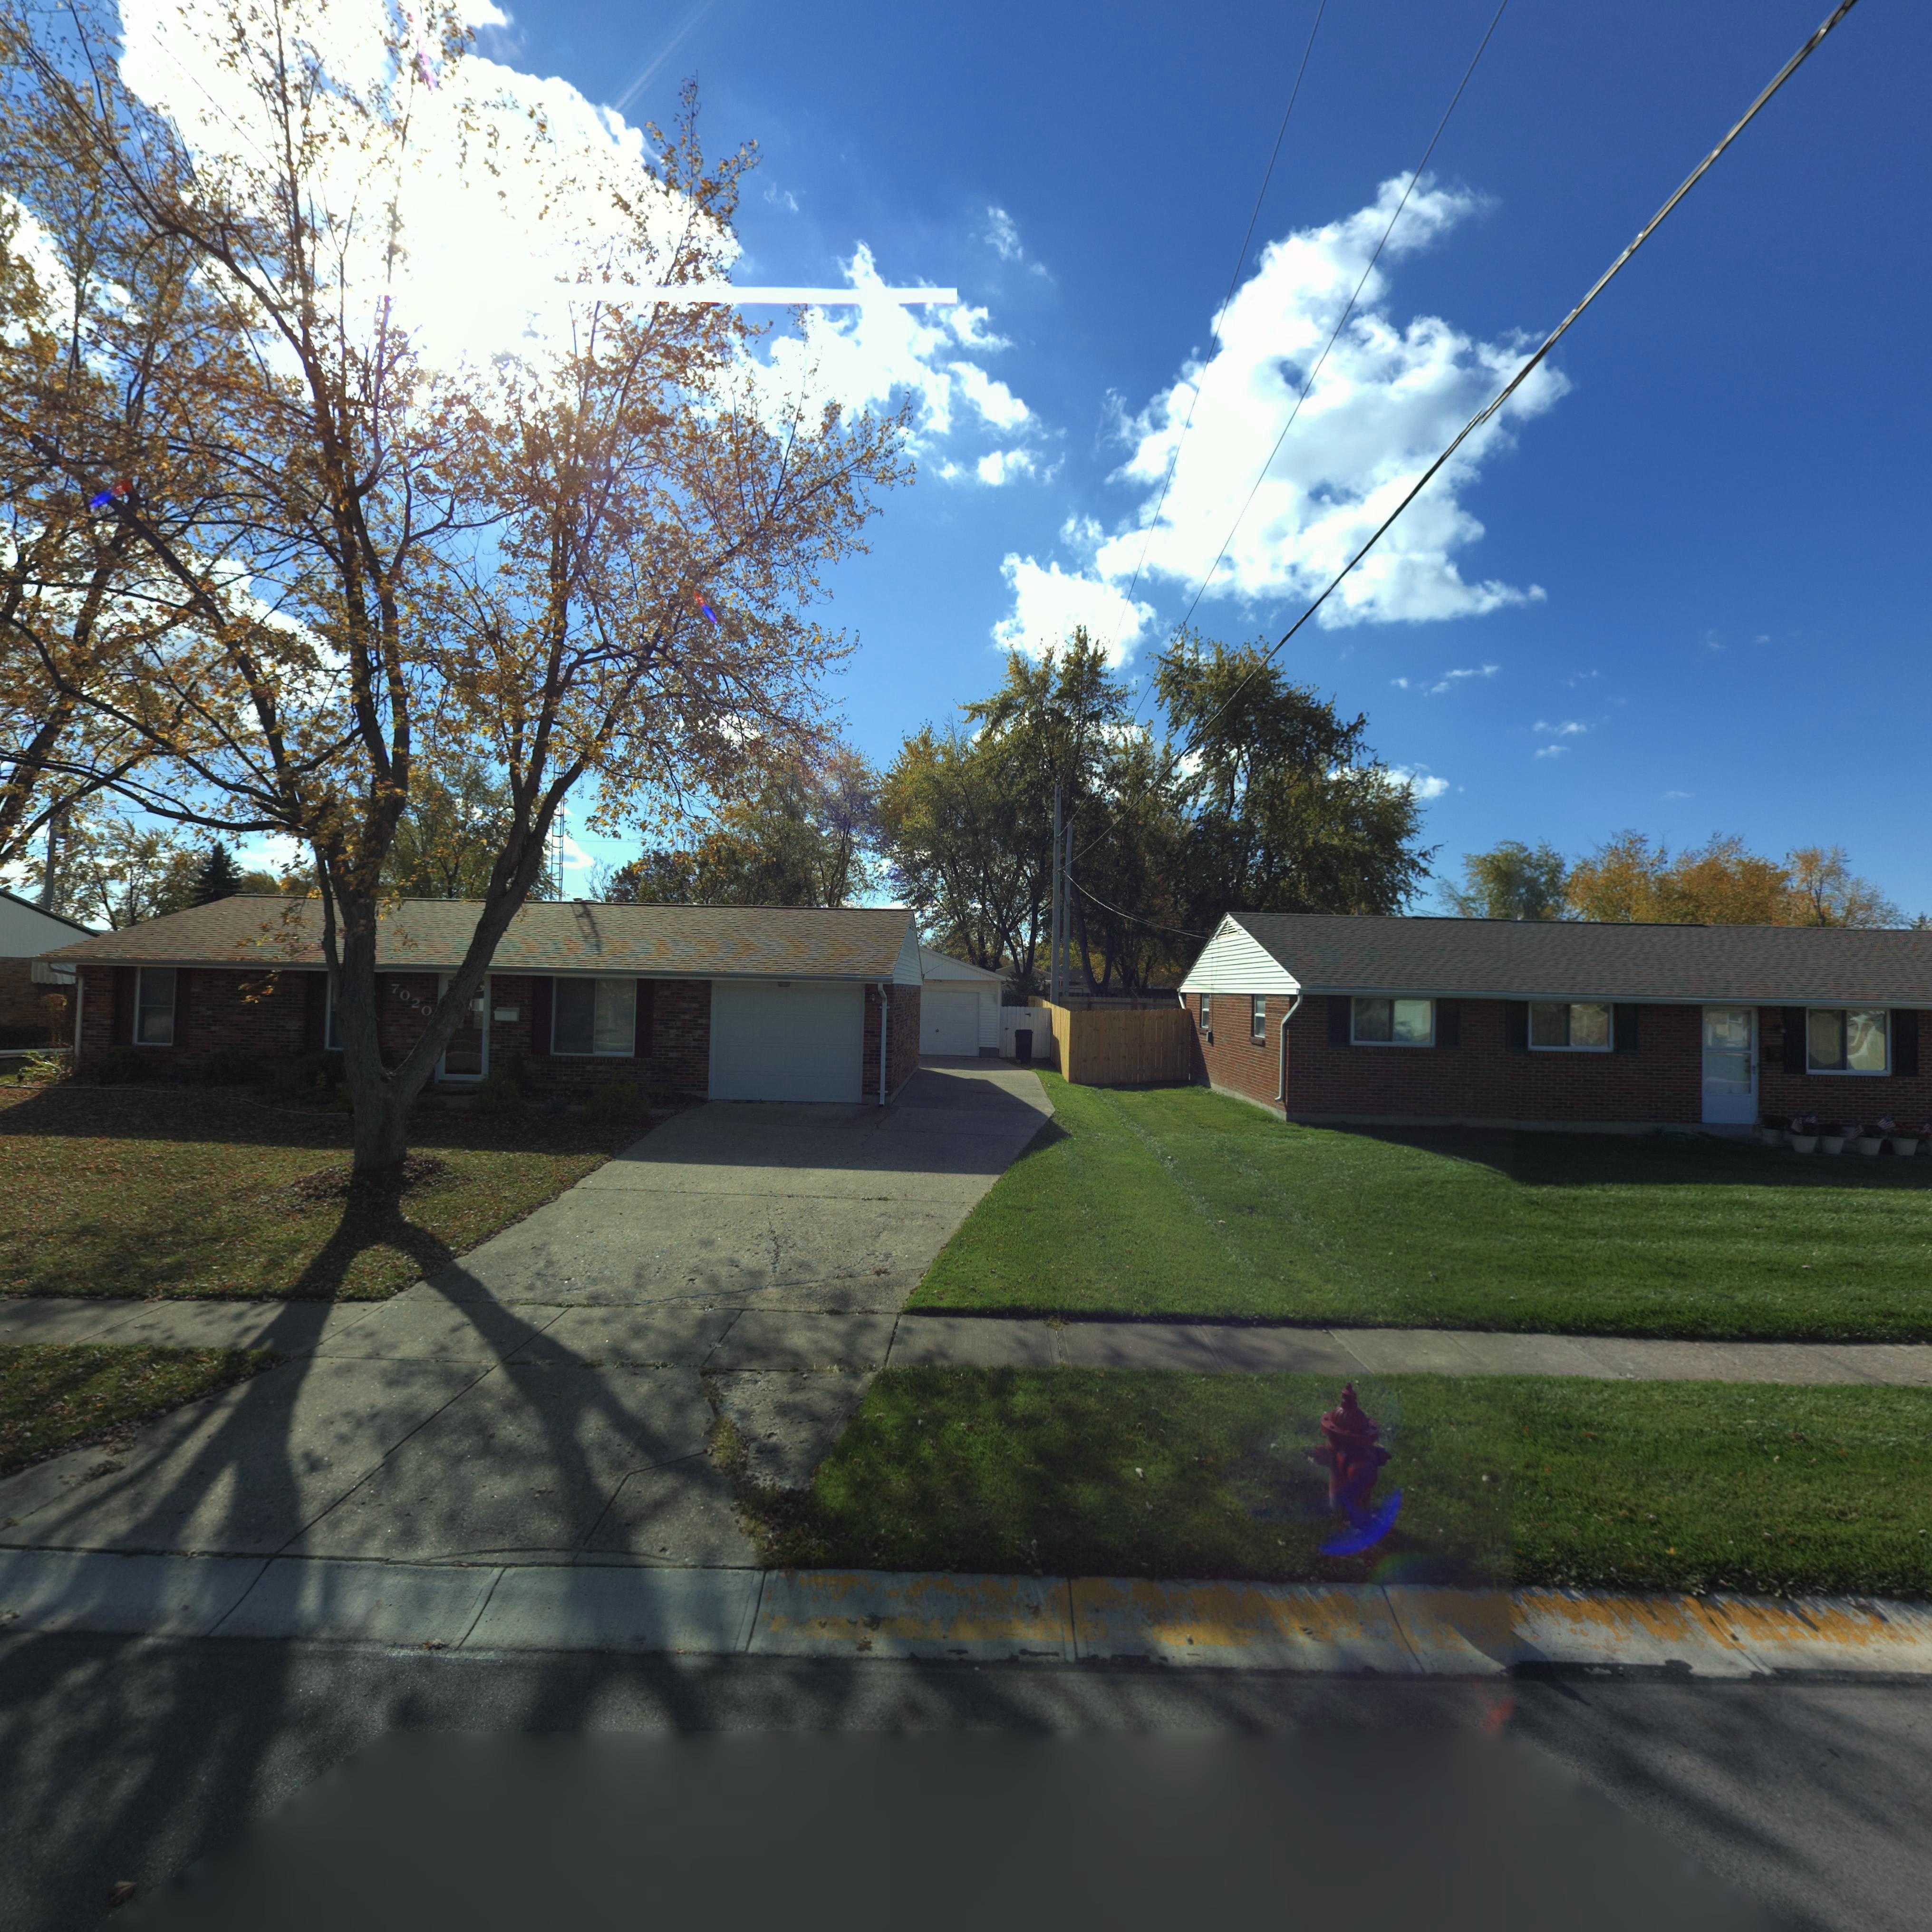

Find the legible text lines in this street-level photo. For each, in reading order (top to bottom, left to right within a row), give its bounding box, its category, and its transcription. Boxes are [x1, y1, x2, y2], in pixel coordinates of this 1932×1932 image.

[390, 983, 433, 1018] StreetNumber: 7020